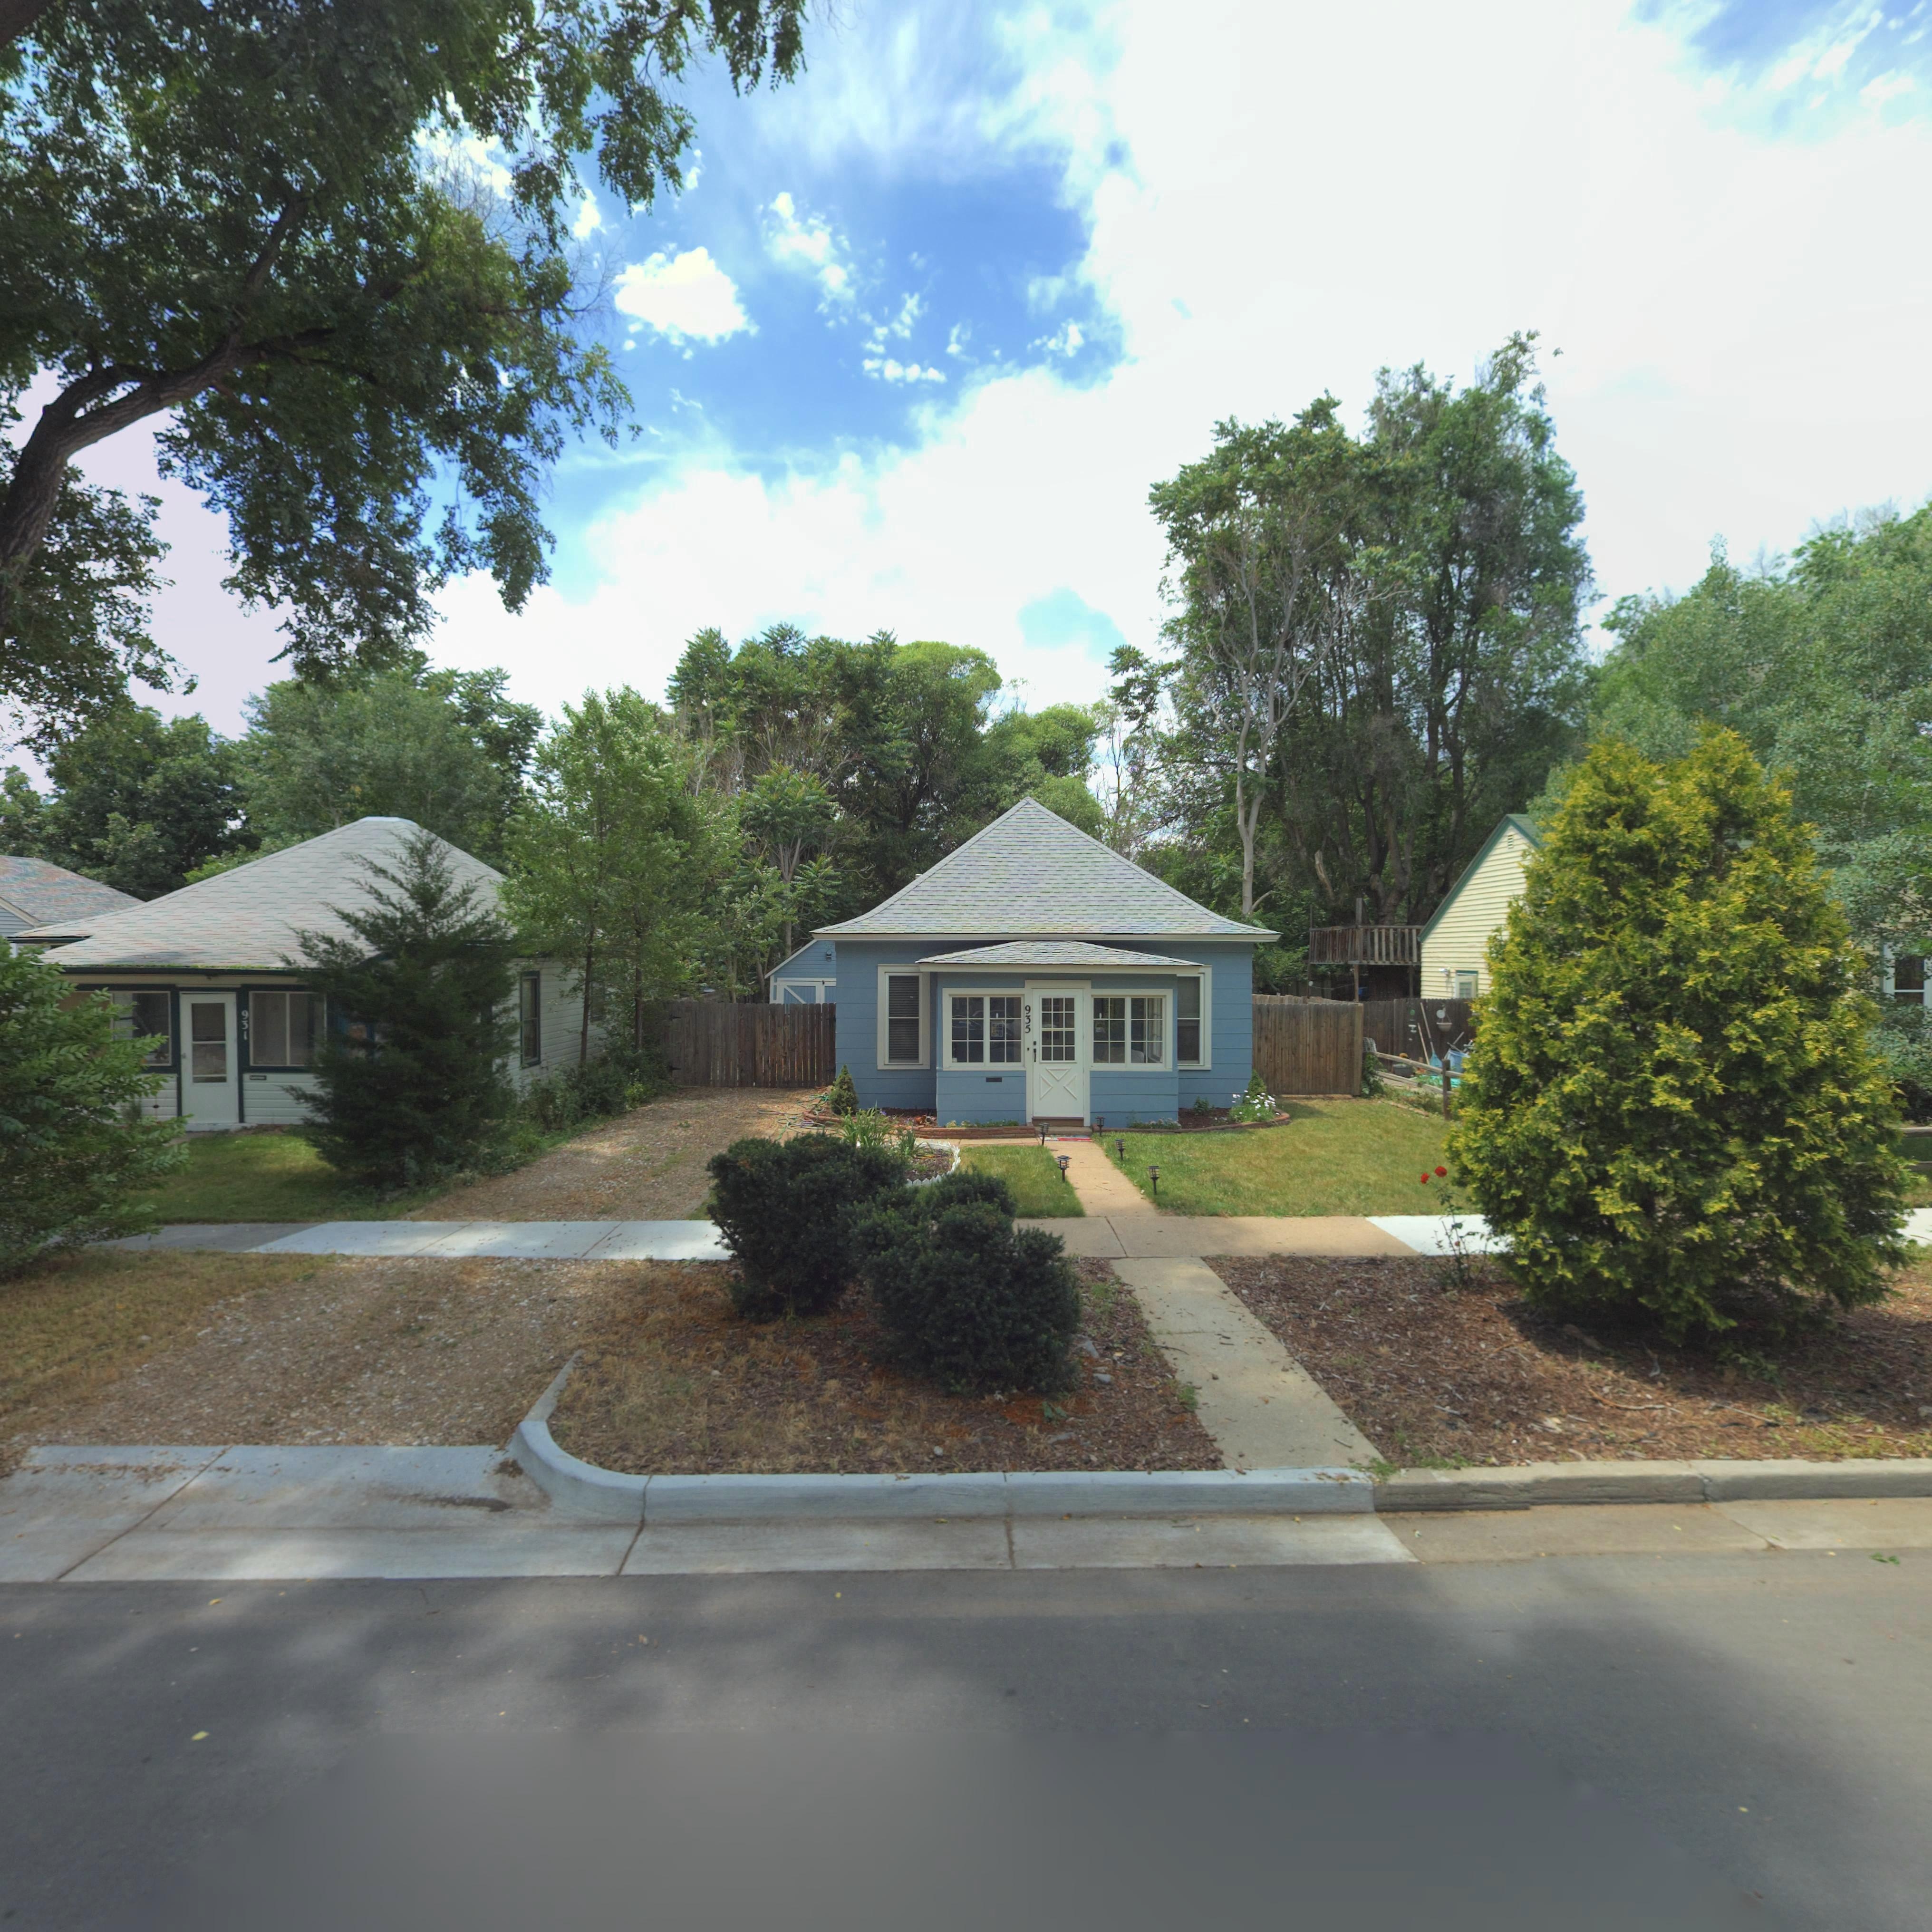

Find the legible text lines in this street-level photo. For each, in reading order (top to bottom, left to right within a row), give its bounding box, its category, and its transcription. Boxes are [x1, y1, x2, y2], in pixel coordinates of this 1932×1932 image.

[241, 1009, 249, 1040] StreetNumber: 951
[1024, 1004, 1031, 1034] StreetNumber: 935